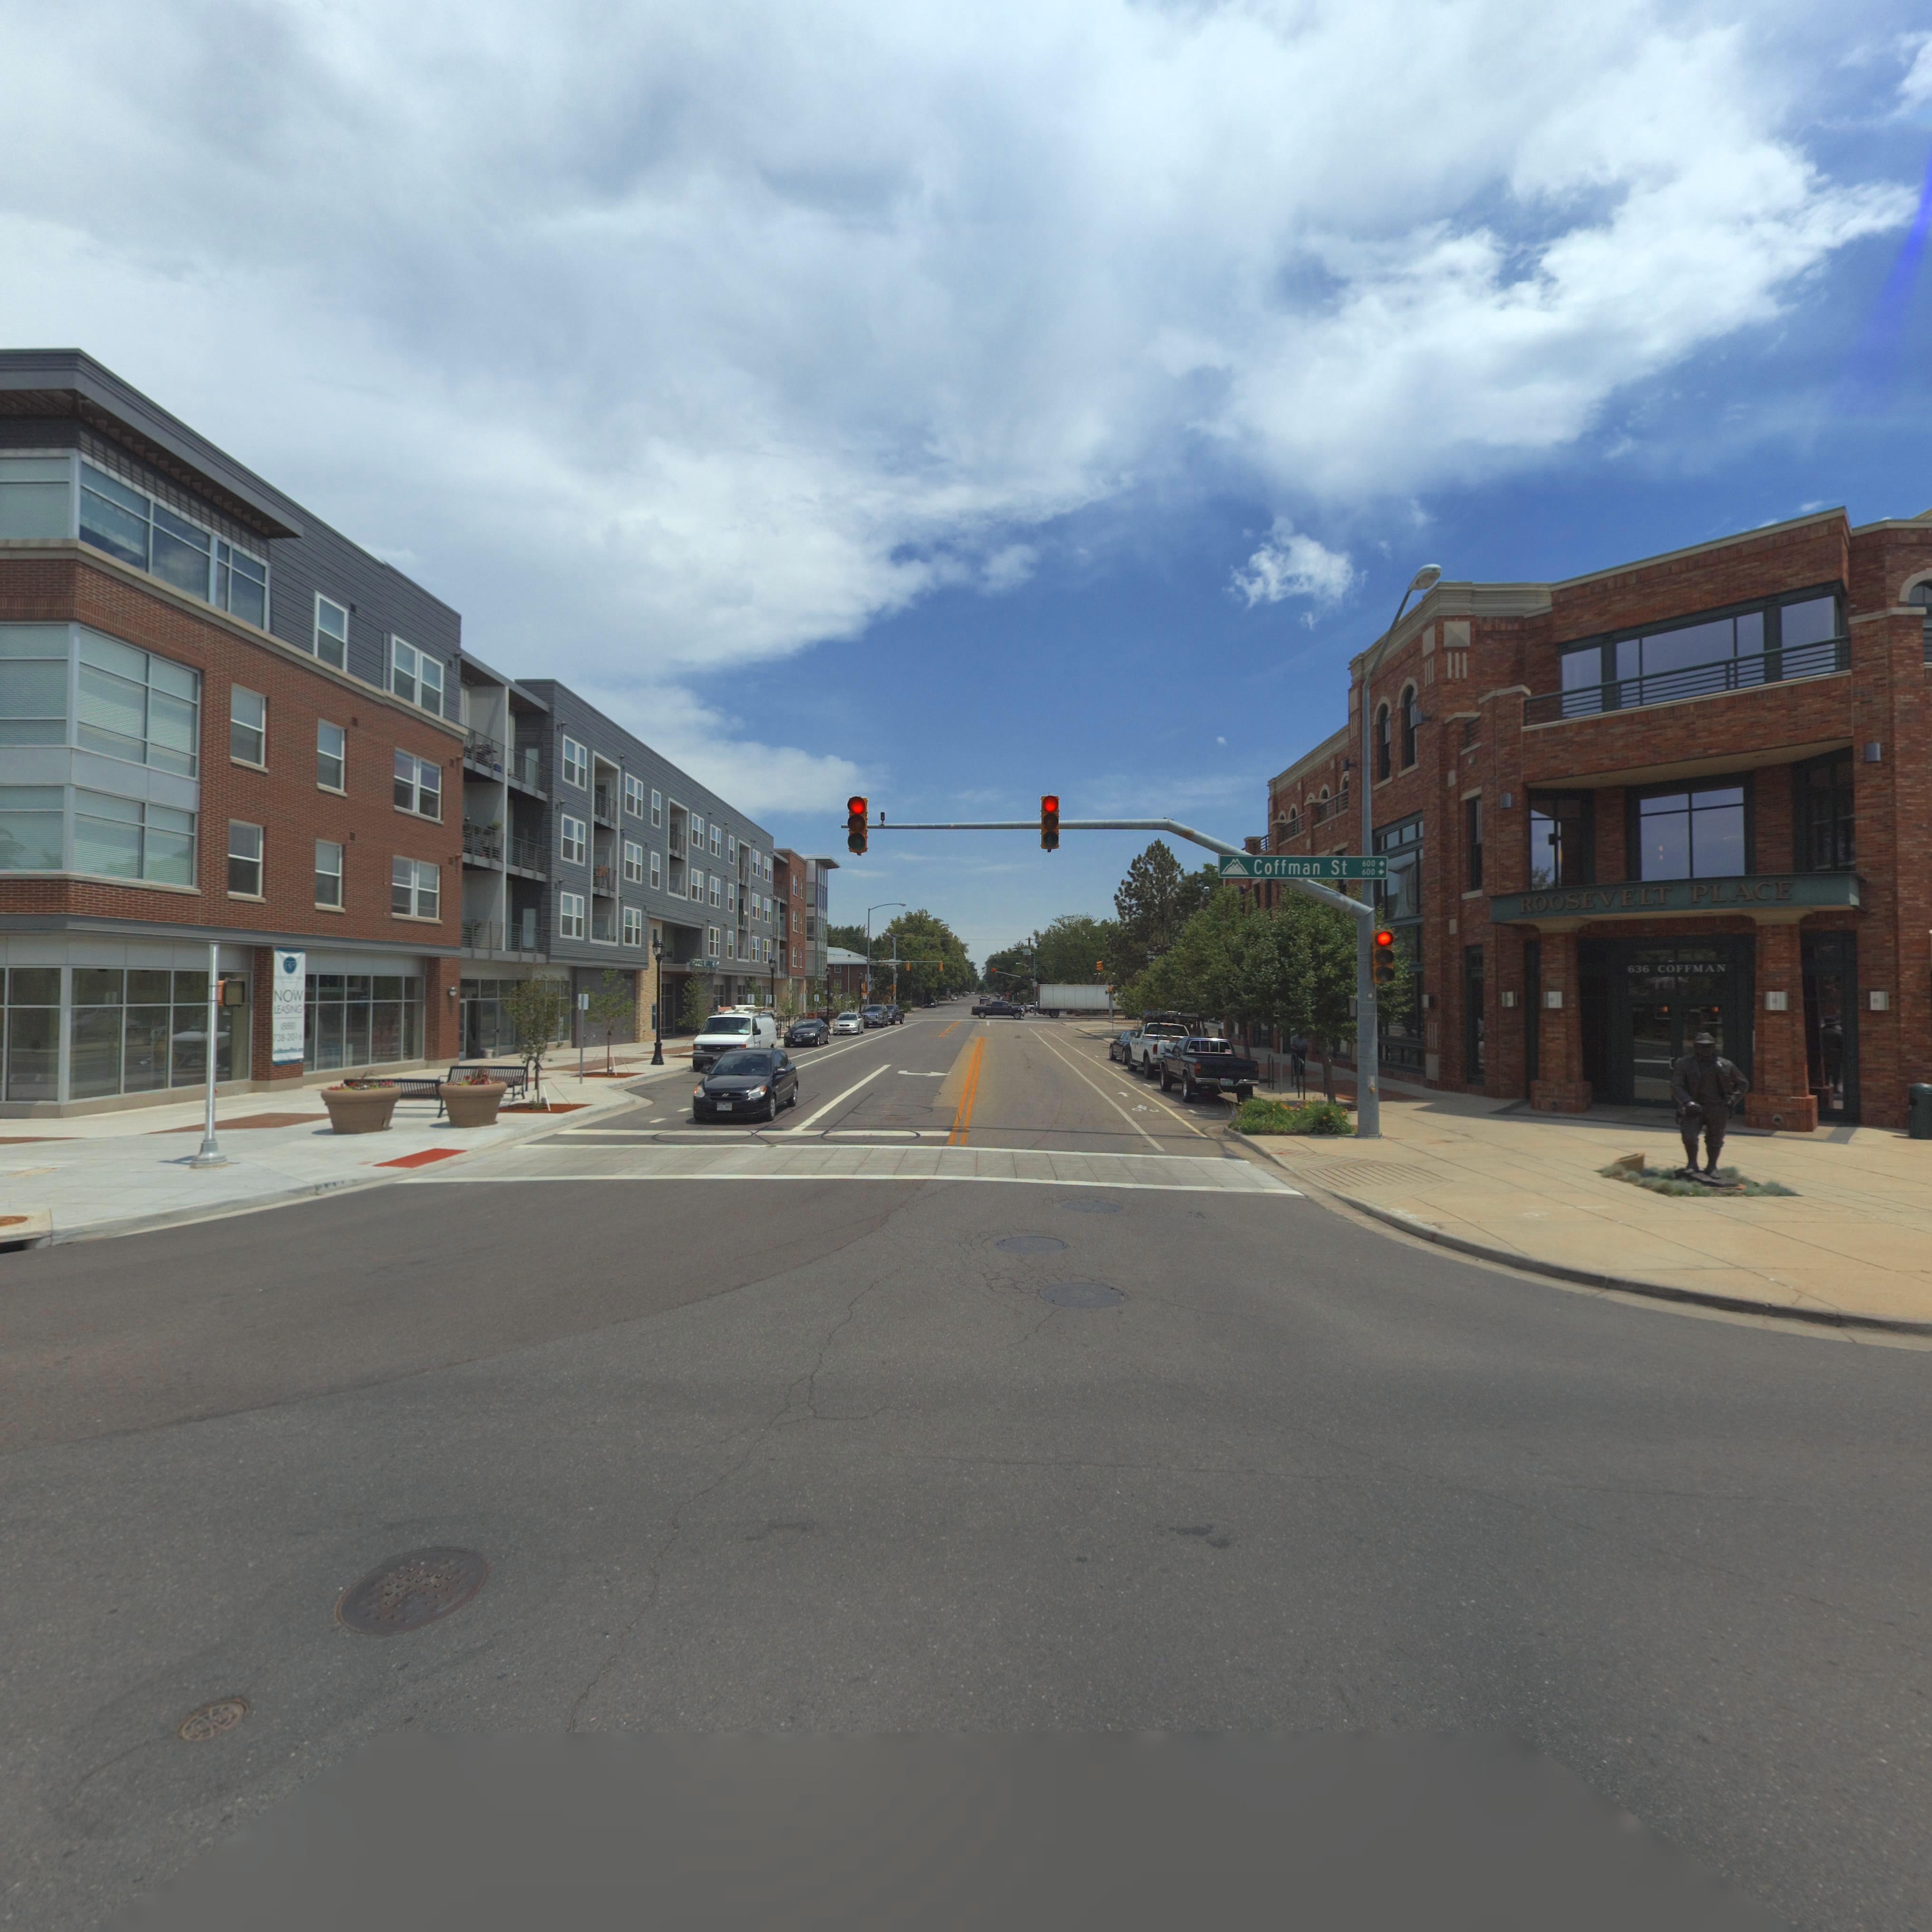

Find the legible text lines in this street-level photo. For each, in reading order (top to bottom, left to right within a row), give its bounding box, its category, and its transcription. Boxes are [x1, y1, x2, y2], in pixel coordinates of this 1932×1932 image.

[1252, 858, 1349, 875] StreetName: Coffman St
[1362, 860, 1375, 867] StreetNumberRange: 600
[1361, 868, 1385, 876] StreetNumberRange: 600 ->
[1518, 880, 1795, 913] BusinessName: ROOSEVELT PLACE
[690, 958, 720, 968] BusinessName: ROO*EVEL*
[1627, 965, 1650, 974] StreetNumber: 636
[1657, 963, 1726, 973] StreetName: COFFMAN